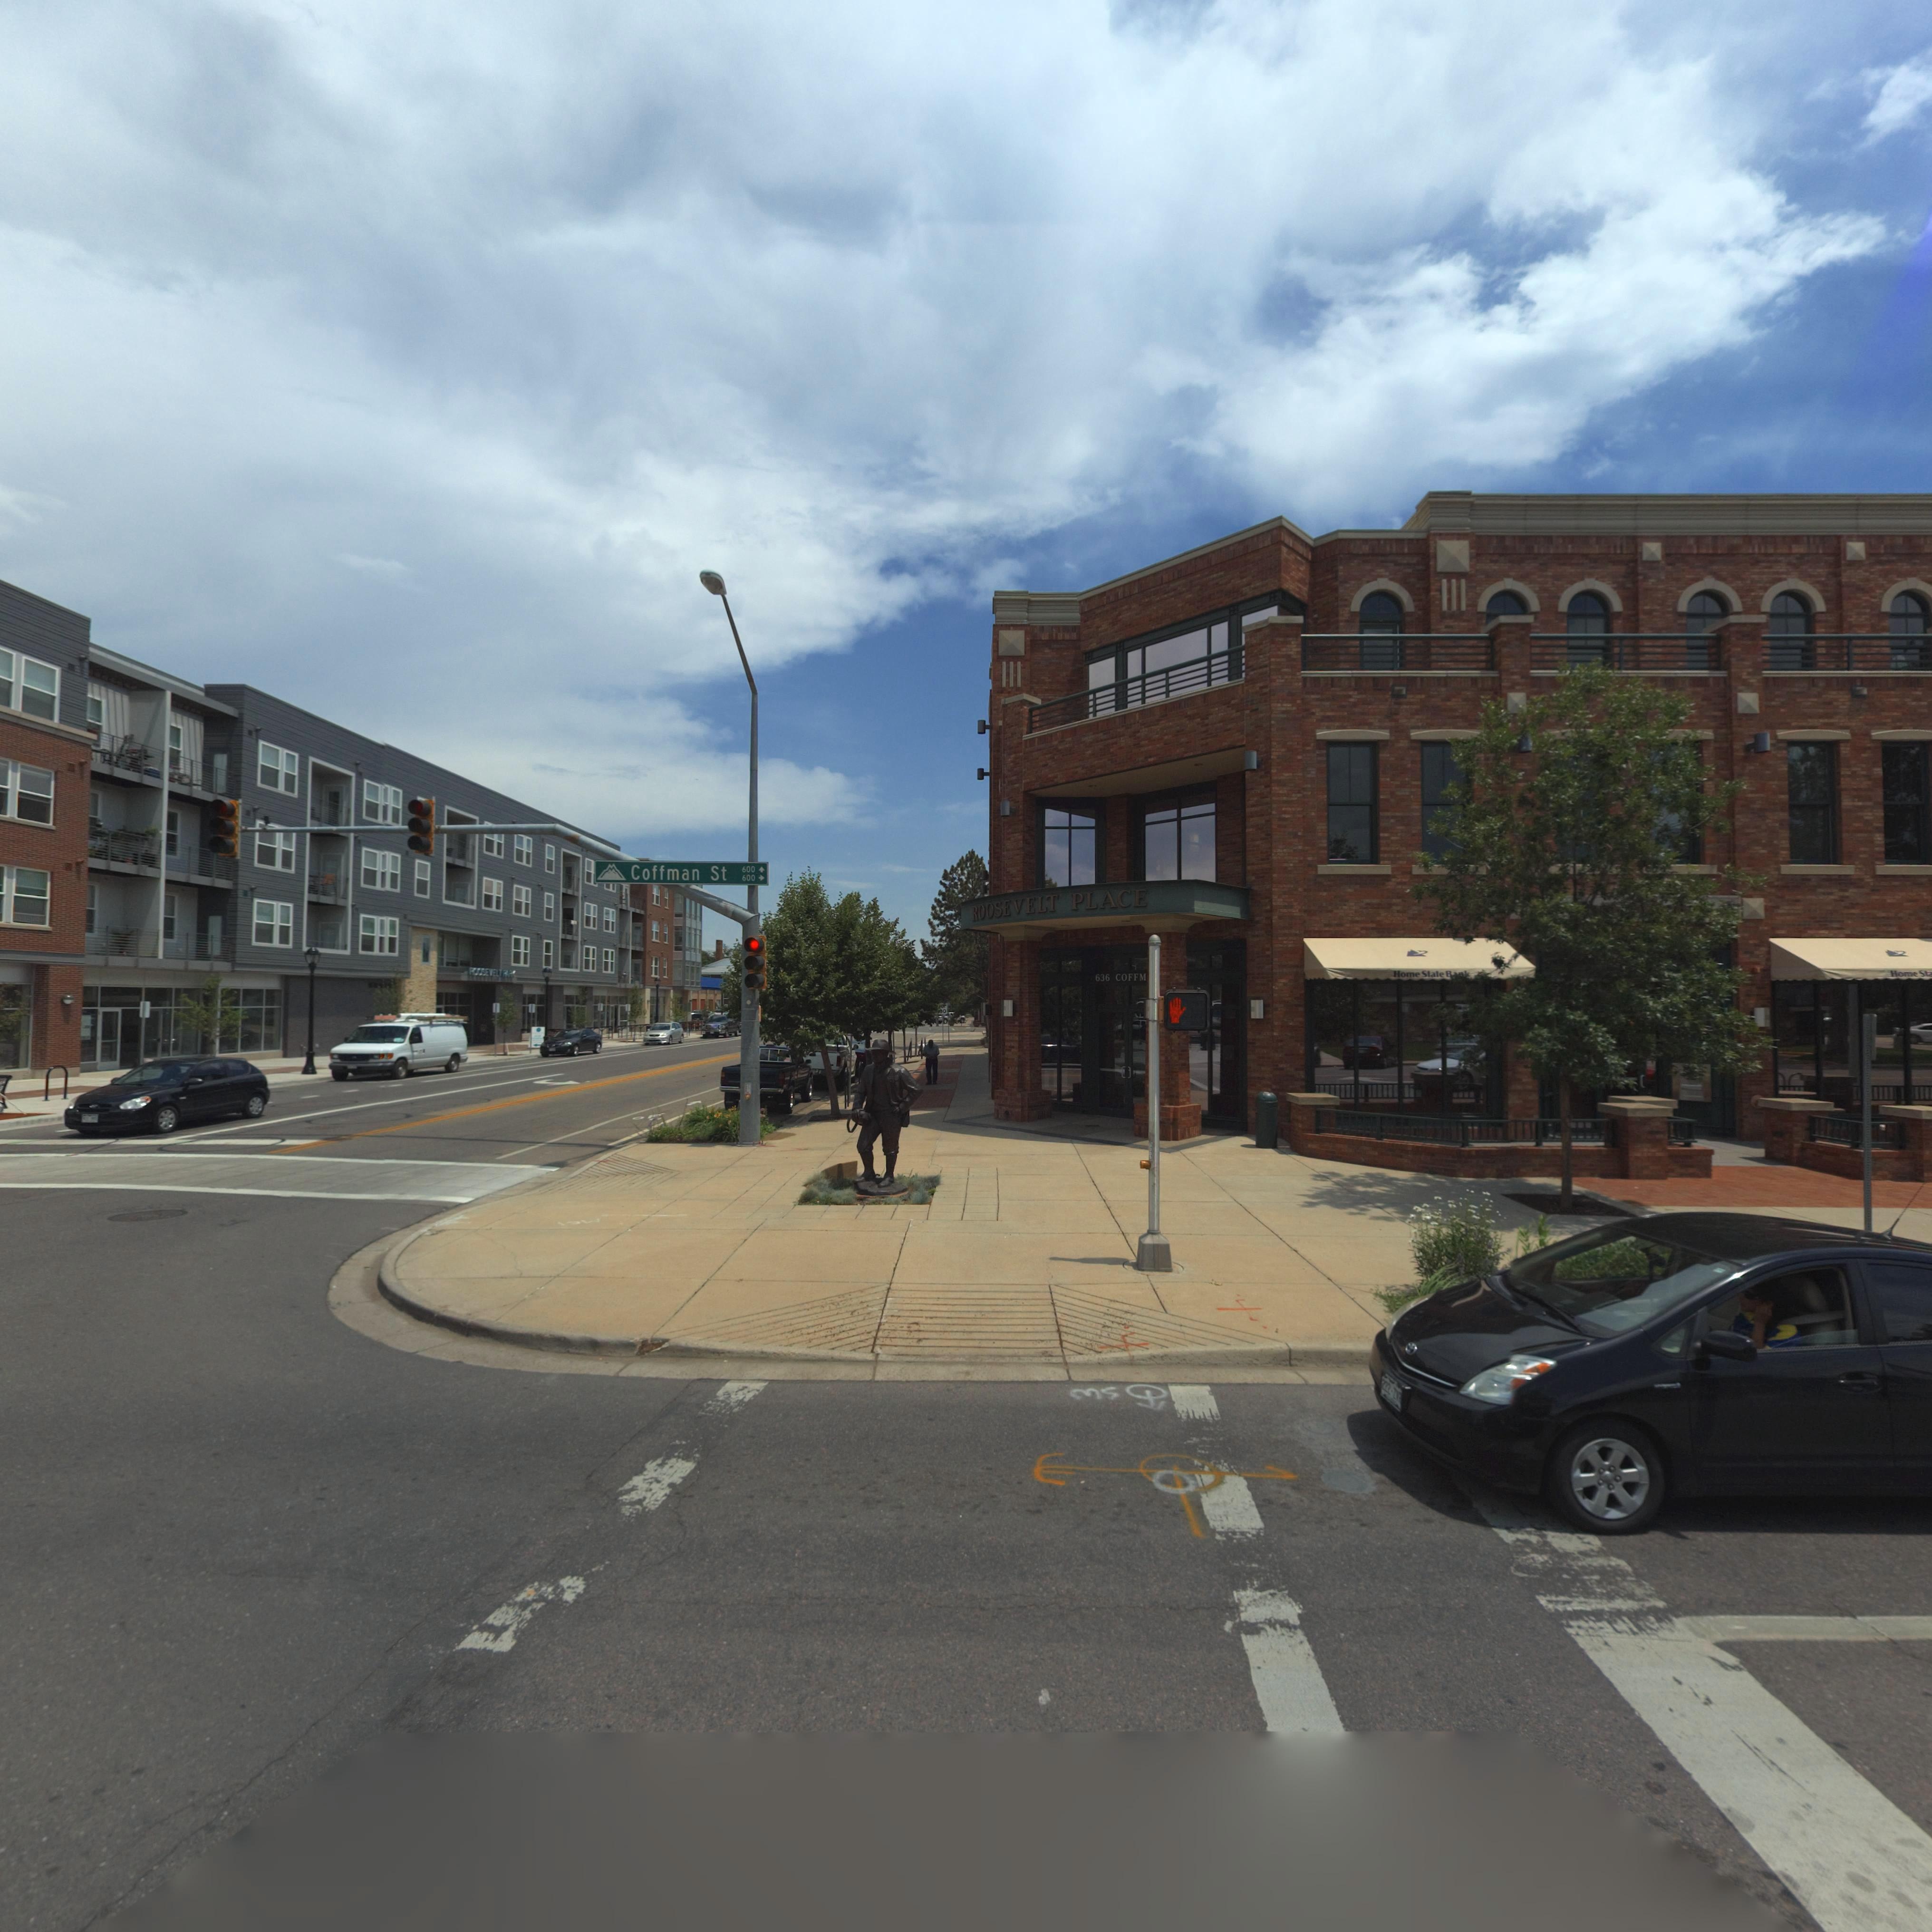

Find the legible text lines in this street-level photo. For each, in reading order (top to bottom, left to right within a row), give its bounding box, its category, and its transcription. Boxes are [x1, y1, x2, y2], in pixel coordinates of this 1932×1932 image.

[630, 864, 728, 881] StreetName: Coffman St
[742, 865, 755, 873] StreetNumberRange: 600
[742, 874, 766, 881] StreetNumberRange: 600 ->
[971, 886, 1150, 922] BusinessName: ROOSEVELT PLACE
[468, 966, 517, 978] BusinessName: ROOSEVELT P*RK
[1095, 973, 1110, 981] StreetNumber: 636
[1115, 973, 1147, 981] StreetName: COFFM
[1392, 970, 1470, 978] BusinessName: Home State Bank
[1889, 969, 1930, 977] BusinessName: Home St